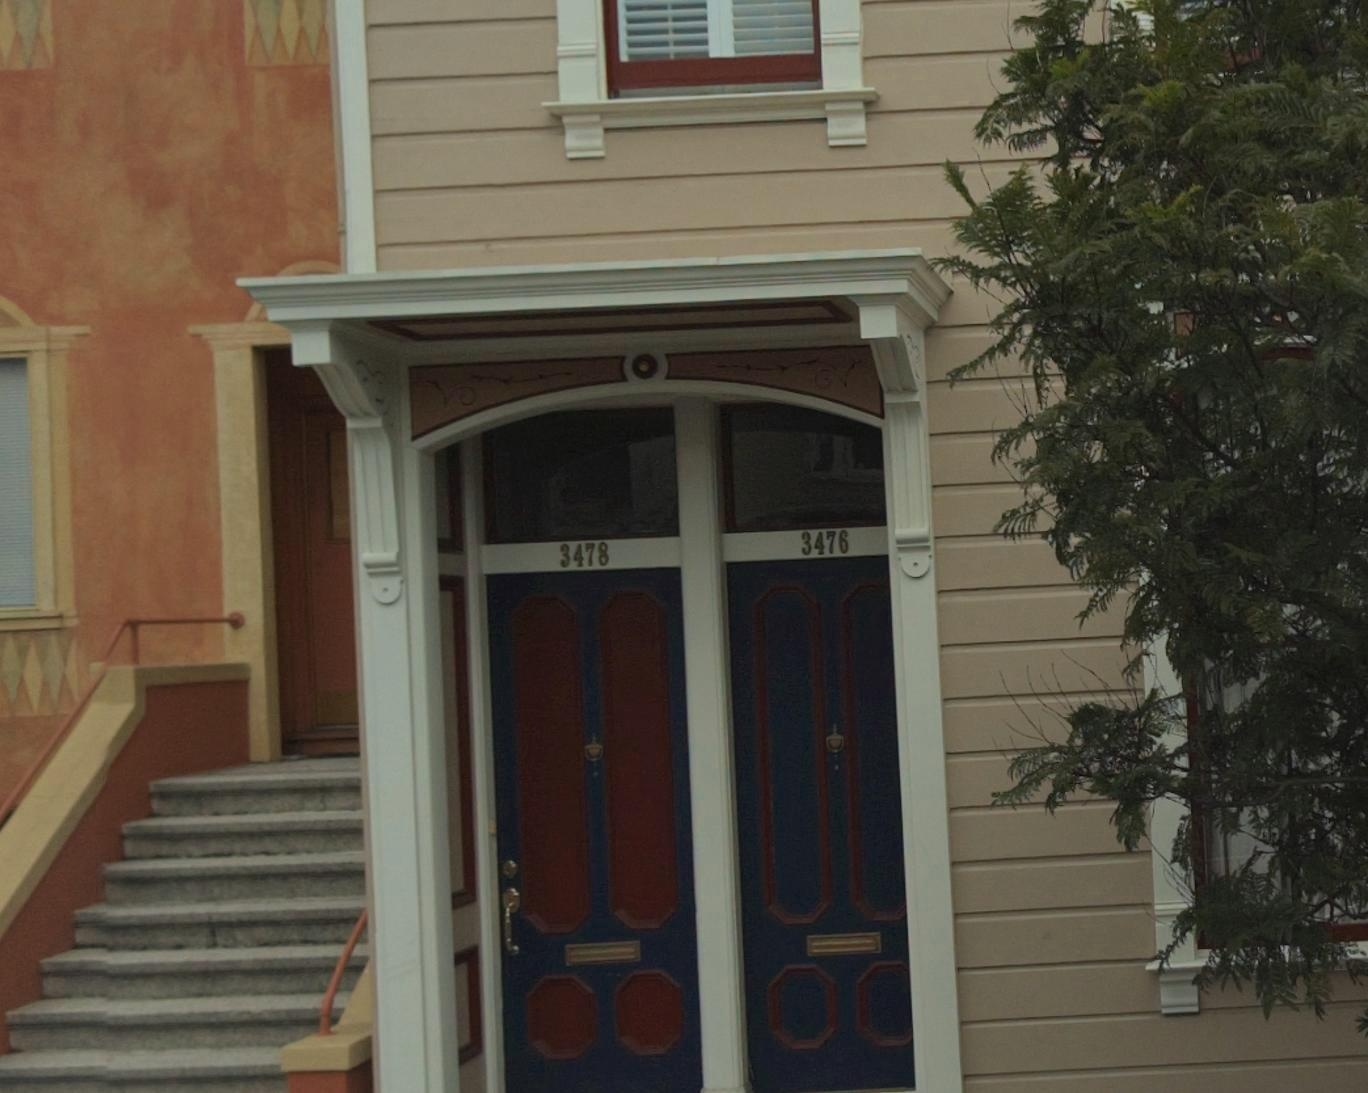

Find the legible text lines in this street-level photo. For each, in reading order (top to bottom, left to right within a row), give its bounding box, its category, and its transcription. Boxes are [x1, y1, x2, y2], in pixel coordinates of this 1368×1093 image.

[558, 540, 611, 569] StreetNumber: 3478
[800, 529, 850, 557] StreetNumber: 3476